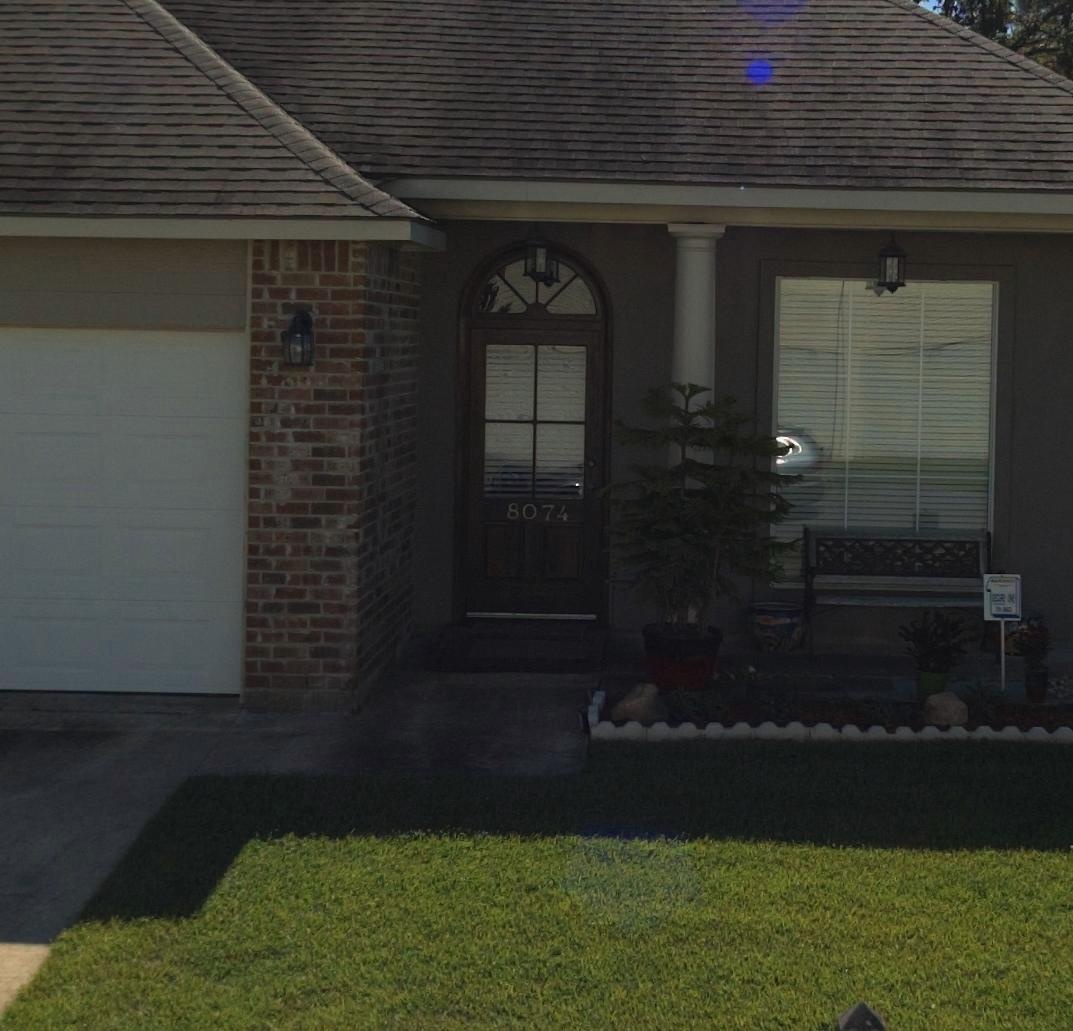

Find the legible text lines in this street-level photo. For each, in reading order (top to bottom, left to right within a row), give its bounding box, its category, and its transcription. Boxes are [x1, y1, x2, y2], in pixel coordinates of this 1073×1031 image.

[503, 500, 573, 525] StreetNumber: 8074